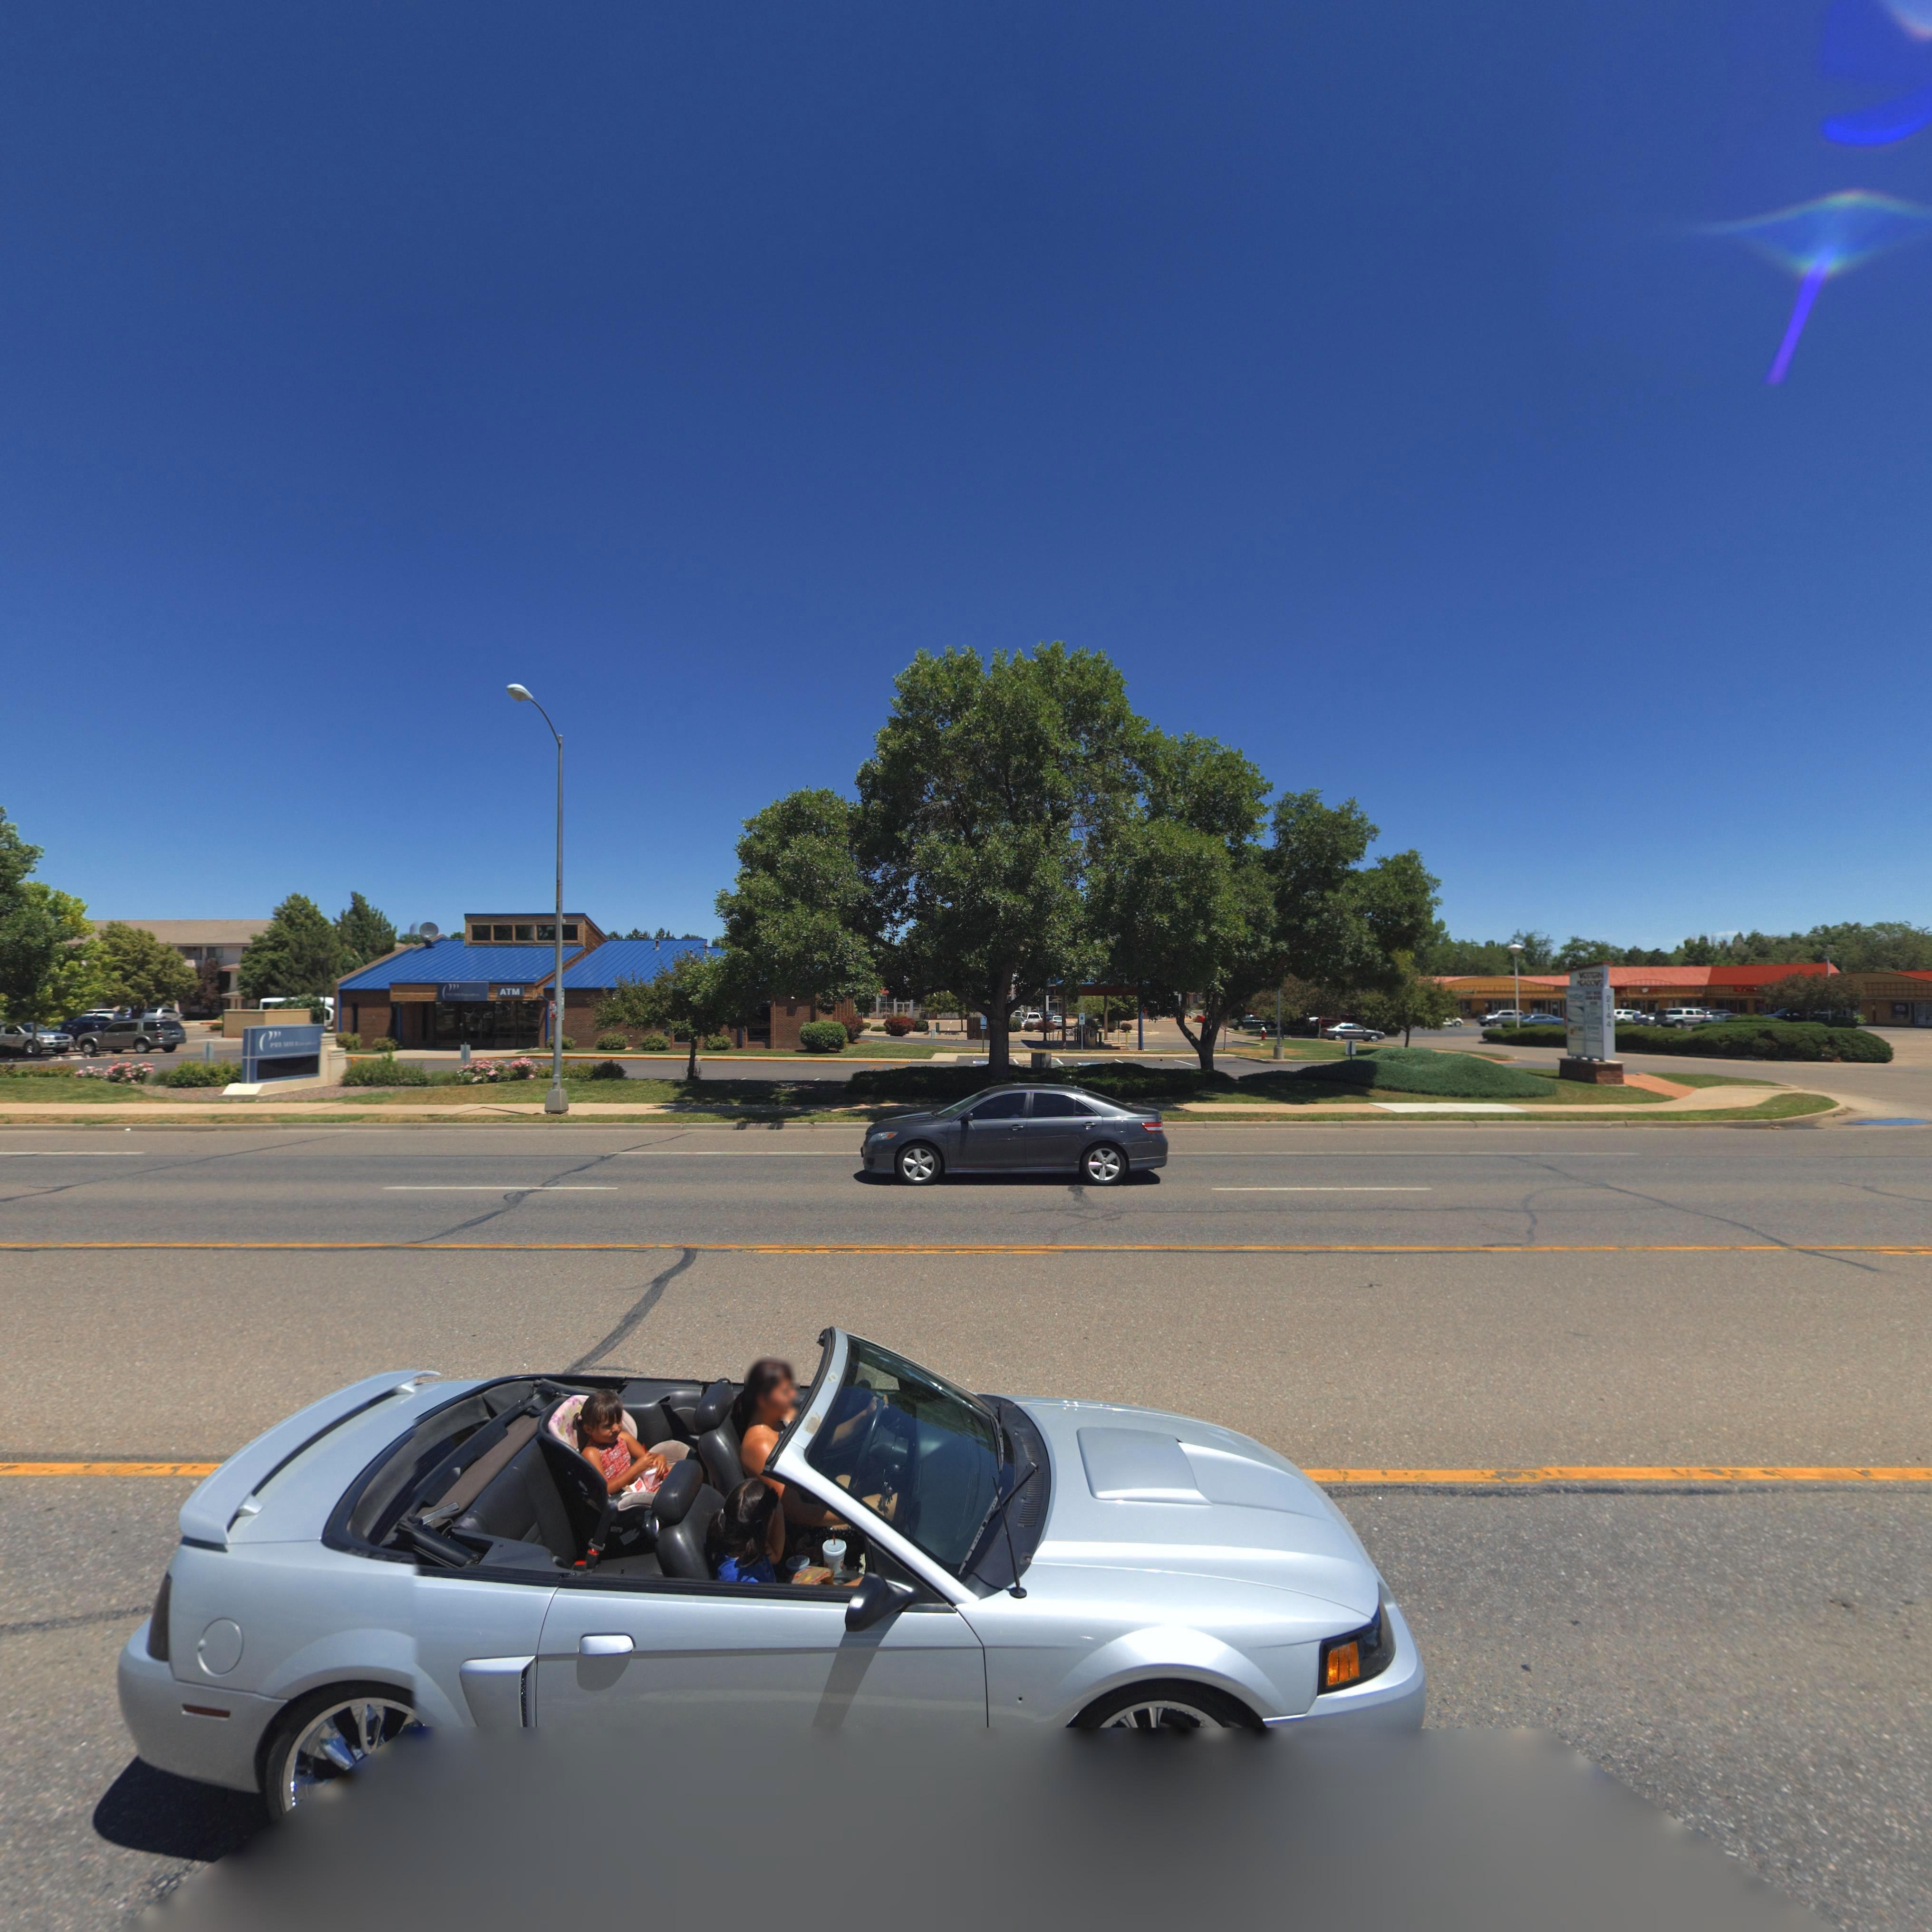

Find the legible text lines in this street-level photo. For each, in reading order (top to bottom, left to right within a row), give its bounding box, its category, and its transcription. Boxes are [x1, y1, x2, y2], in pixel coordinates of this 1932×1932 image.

[1605, 995, 1611, 1027] StreetNumber: 2144